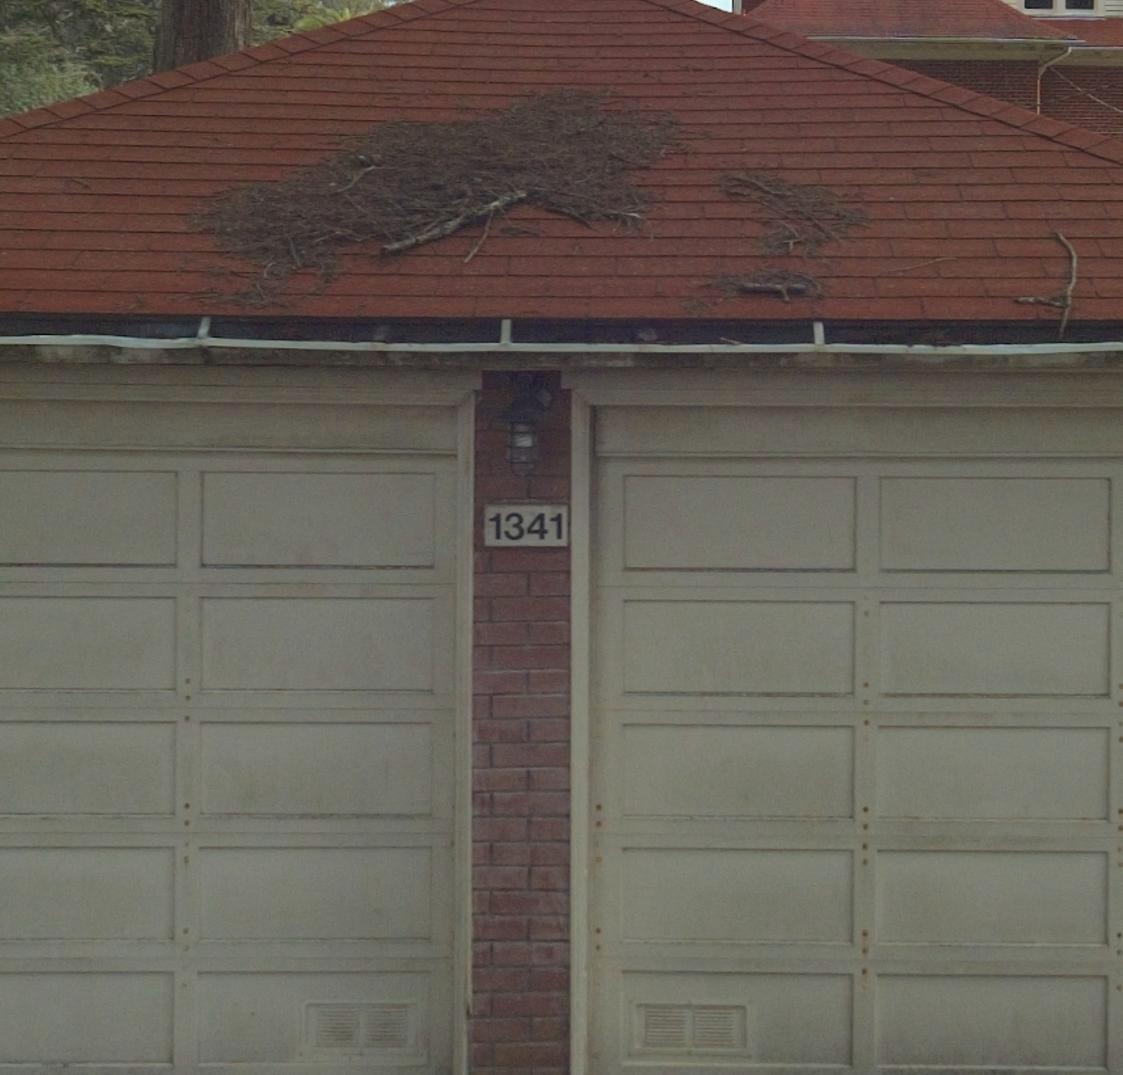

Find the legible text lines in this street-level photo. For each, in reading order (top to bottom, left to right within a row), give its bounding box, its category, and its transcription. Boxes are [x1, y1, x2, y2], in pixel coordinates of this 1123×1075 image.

[487, 511, 564, 541] StreetNumber: 1341